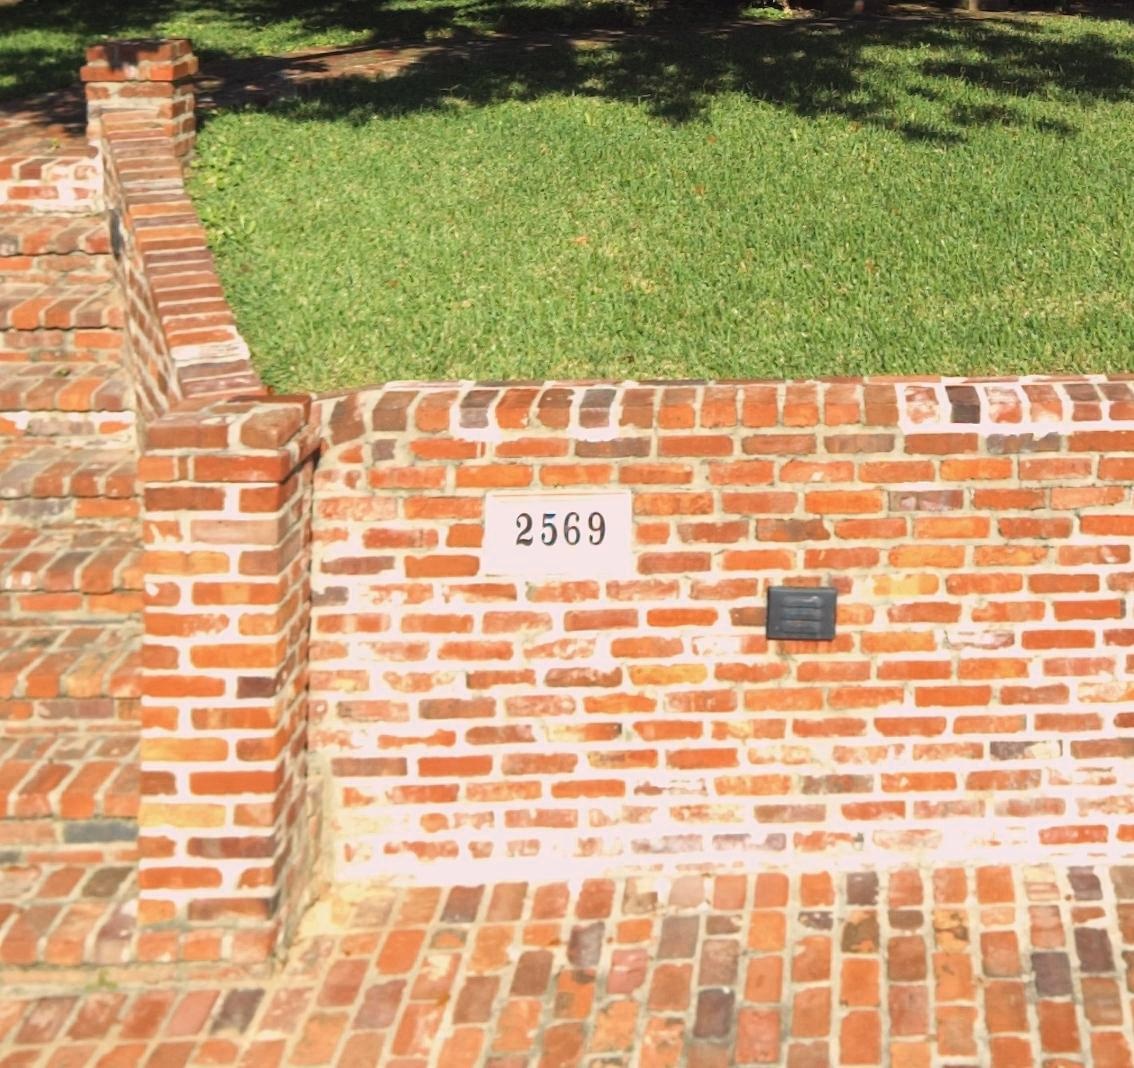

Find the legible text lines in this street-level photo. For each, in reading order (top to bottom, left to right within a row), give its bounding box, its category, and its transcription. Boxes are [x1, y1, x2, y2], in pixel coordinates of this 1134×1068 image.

[510, 508, 611, 550] StreetNumber: 2569